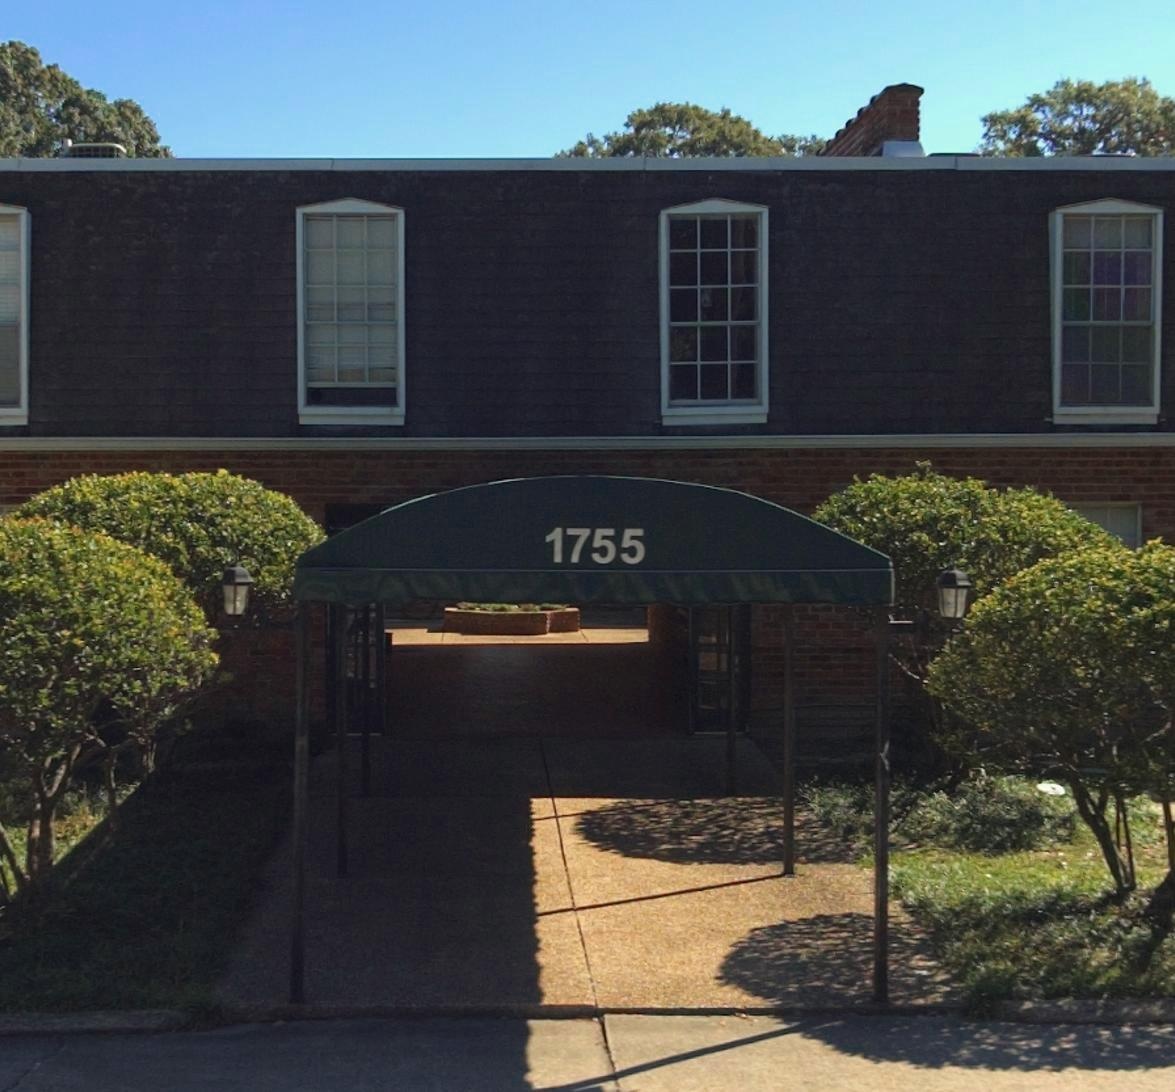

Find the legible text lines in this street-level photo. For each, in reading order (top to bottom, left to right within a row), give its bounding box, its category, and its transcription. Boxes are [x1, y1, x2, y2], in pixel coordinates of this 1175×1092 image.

[541, 525, 649, 567] StreetNumber: 1755